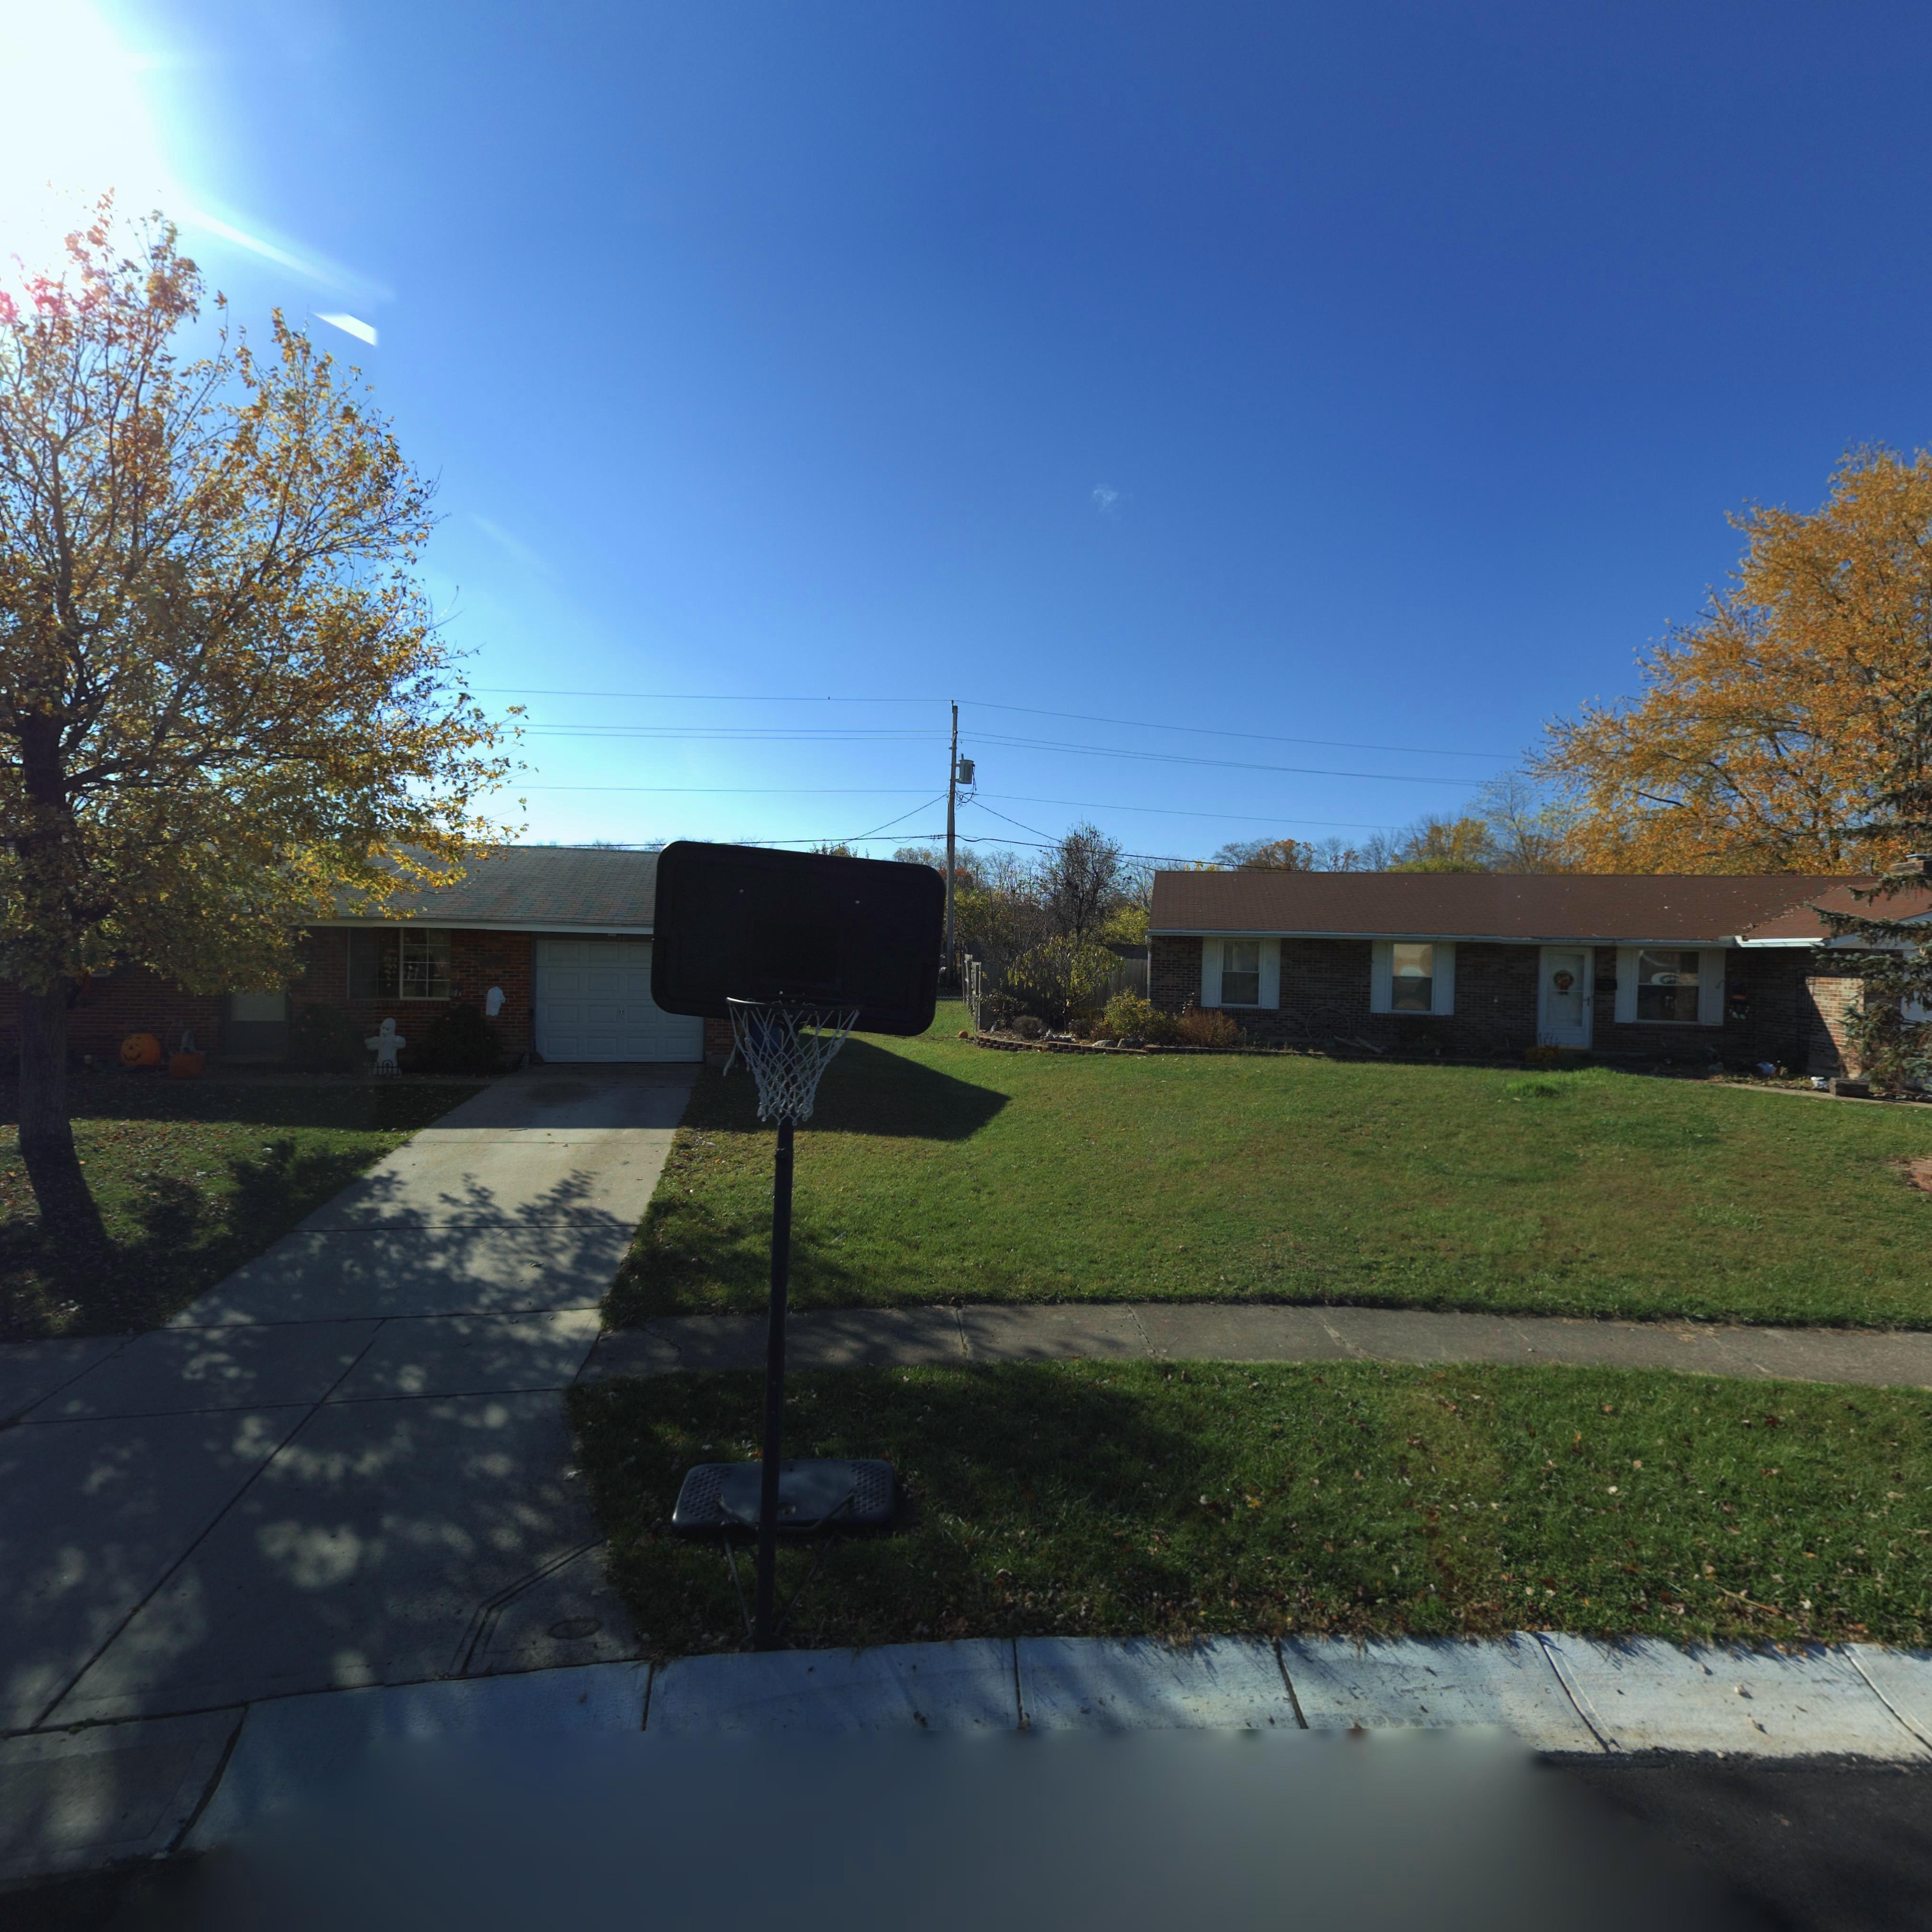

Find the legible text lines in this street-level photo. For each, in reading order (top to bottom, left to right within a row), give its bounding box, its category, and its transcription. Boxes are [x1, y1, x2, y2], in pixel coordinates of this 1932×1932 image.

[616, 934, 627, 942] StreetNumber: 40